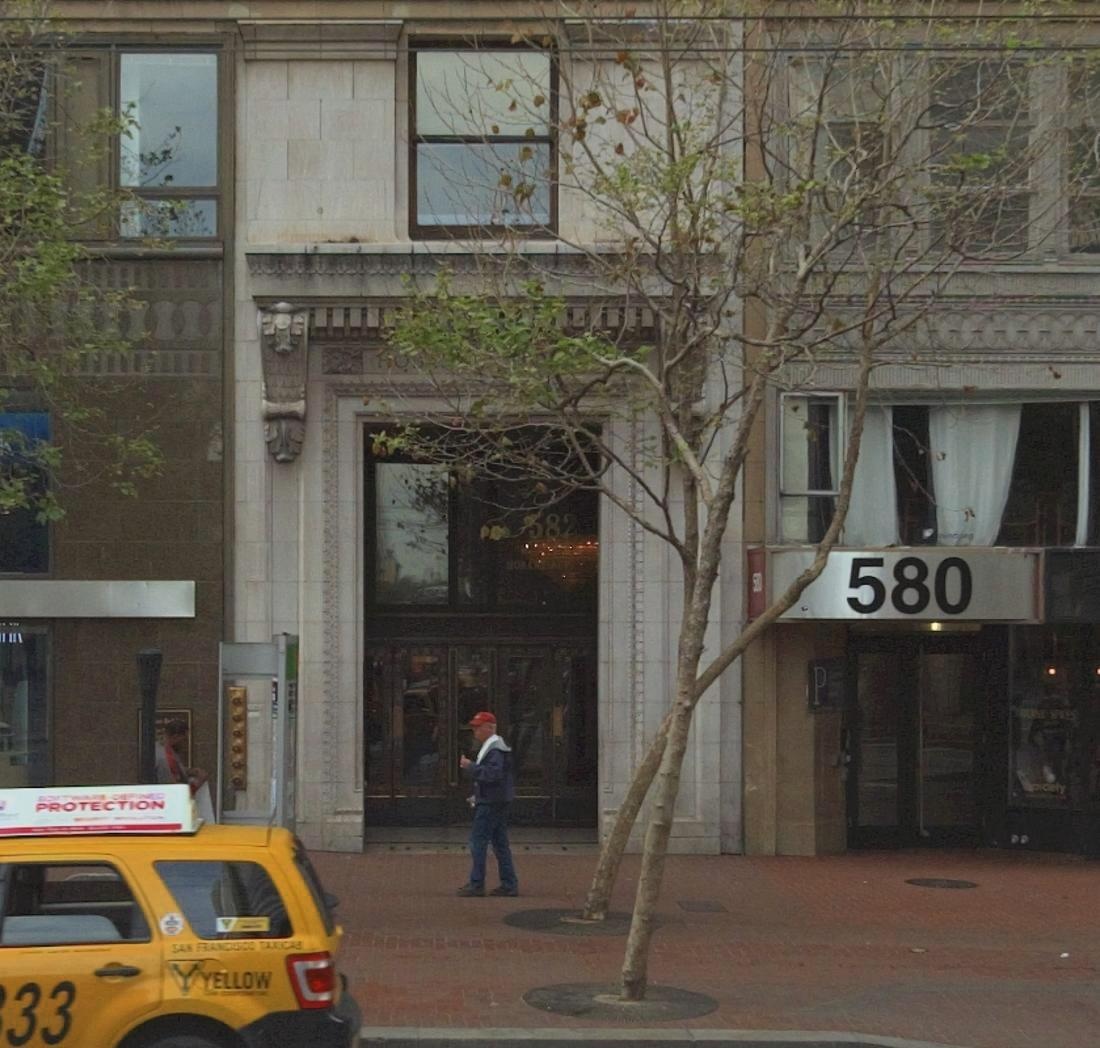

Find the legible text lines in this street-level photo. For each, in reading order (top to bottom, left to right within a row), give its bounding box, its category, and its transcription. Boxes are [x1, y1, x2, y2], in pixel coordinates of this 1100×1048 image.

[526, 512, 580, 540] StreetNumber: *82
[845, 555, 972, 616] StreetNumber: 580
[812, 665, 828, 707] None: P
[34, 799, 167, 813] None: PROTECTION
[171, 939, 303, 954] None: SAN FRANCISCO TAXICAB
[198, 969, 276, 991] None: YELLOW
[3, 980, 80, 1047] None: 33